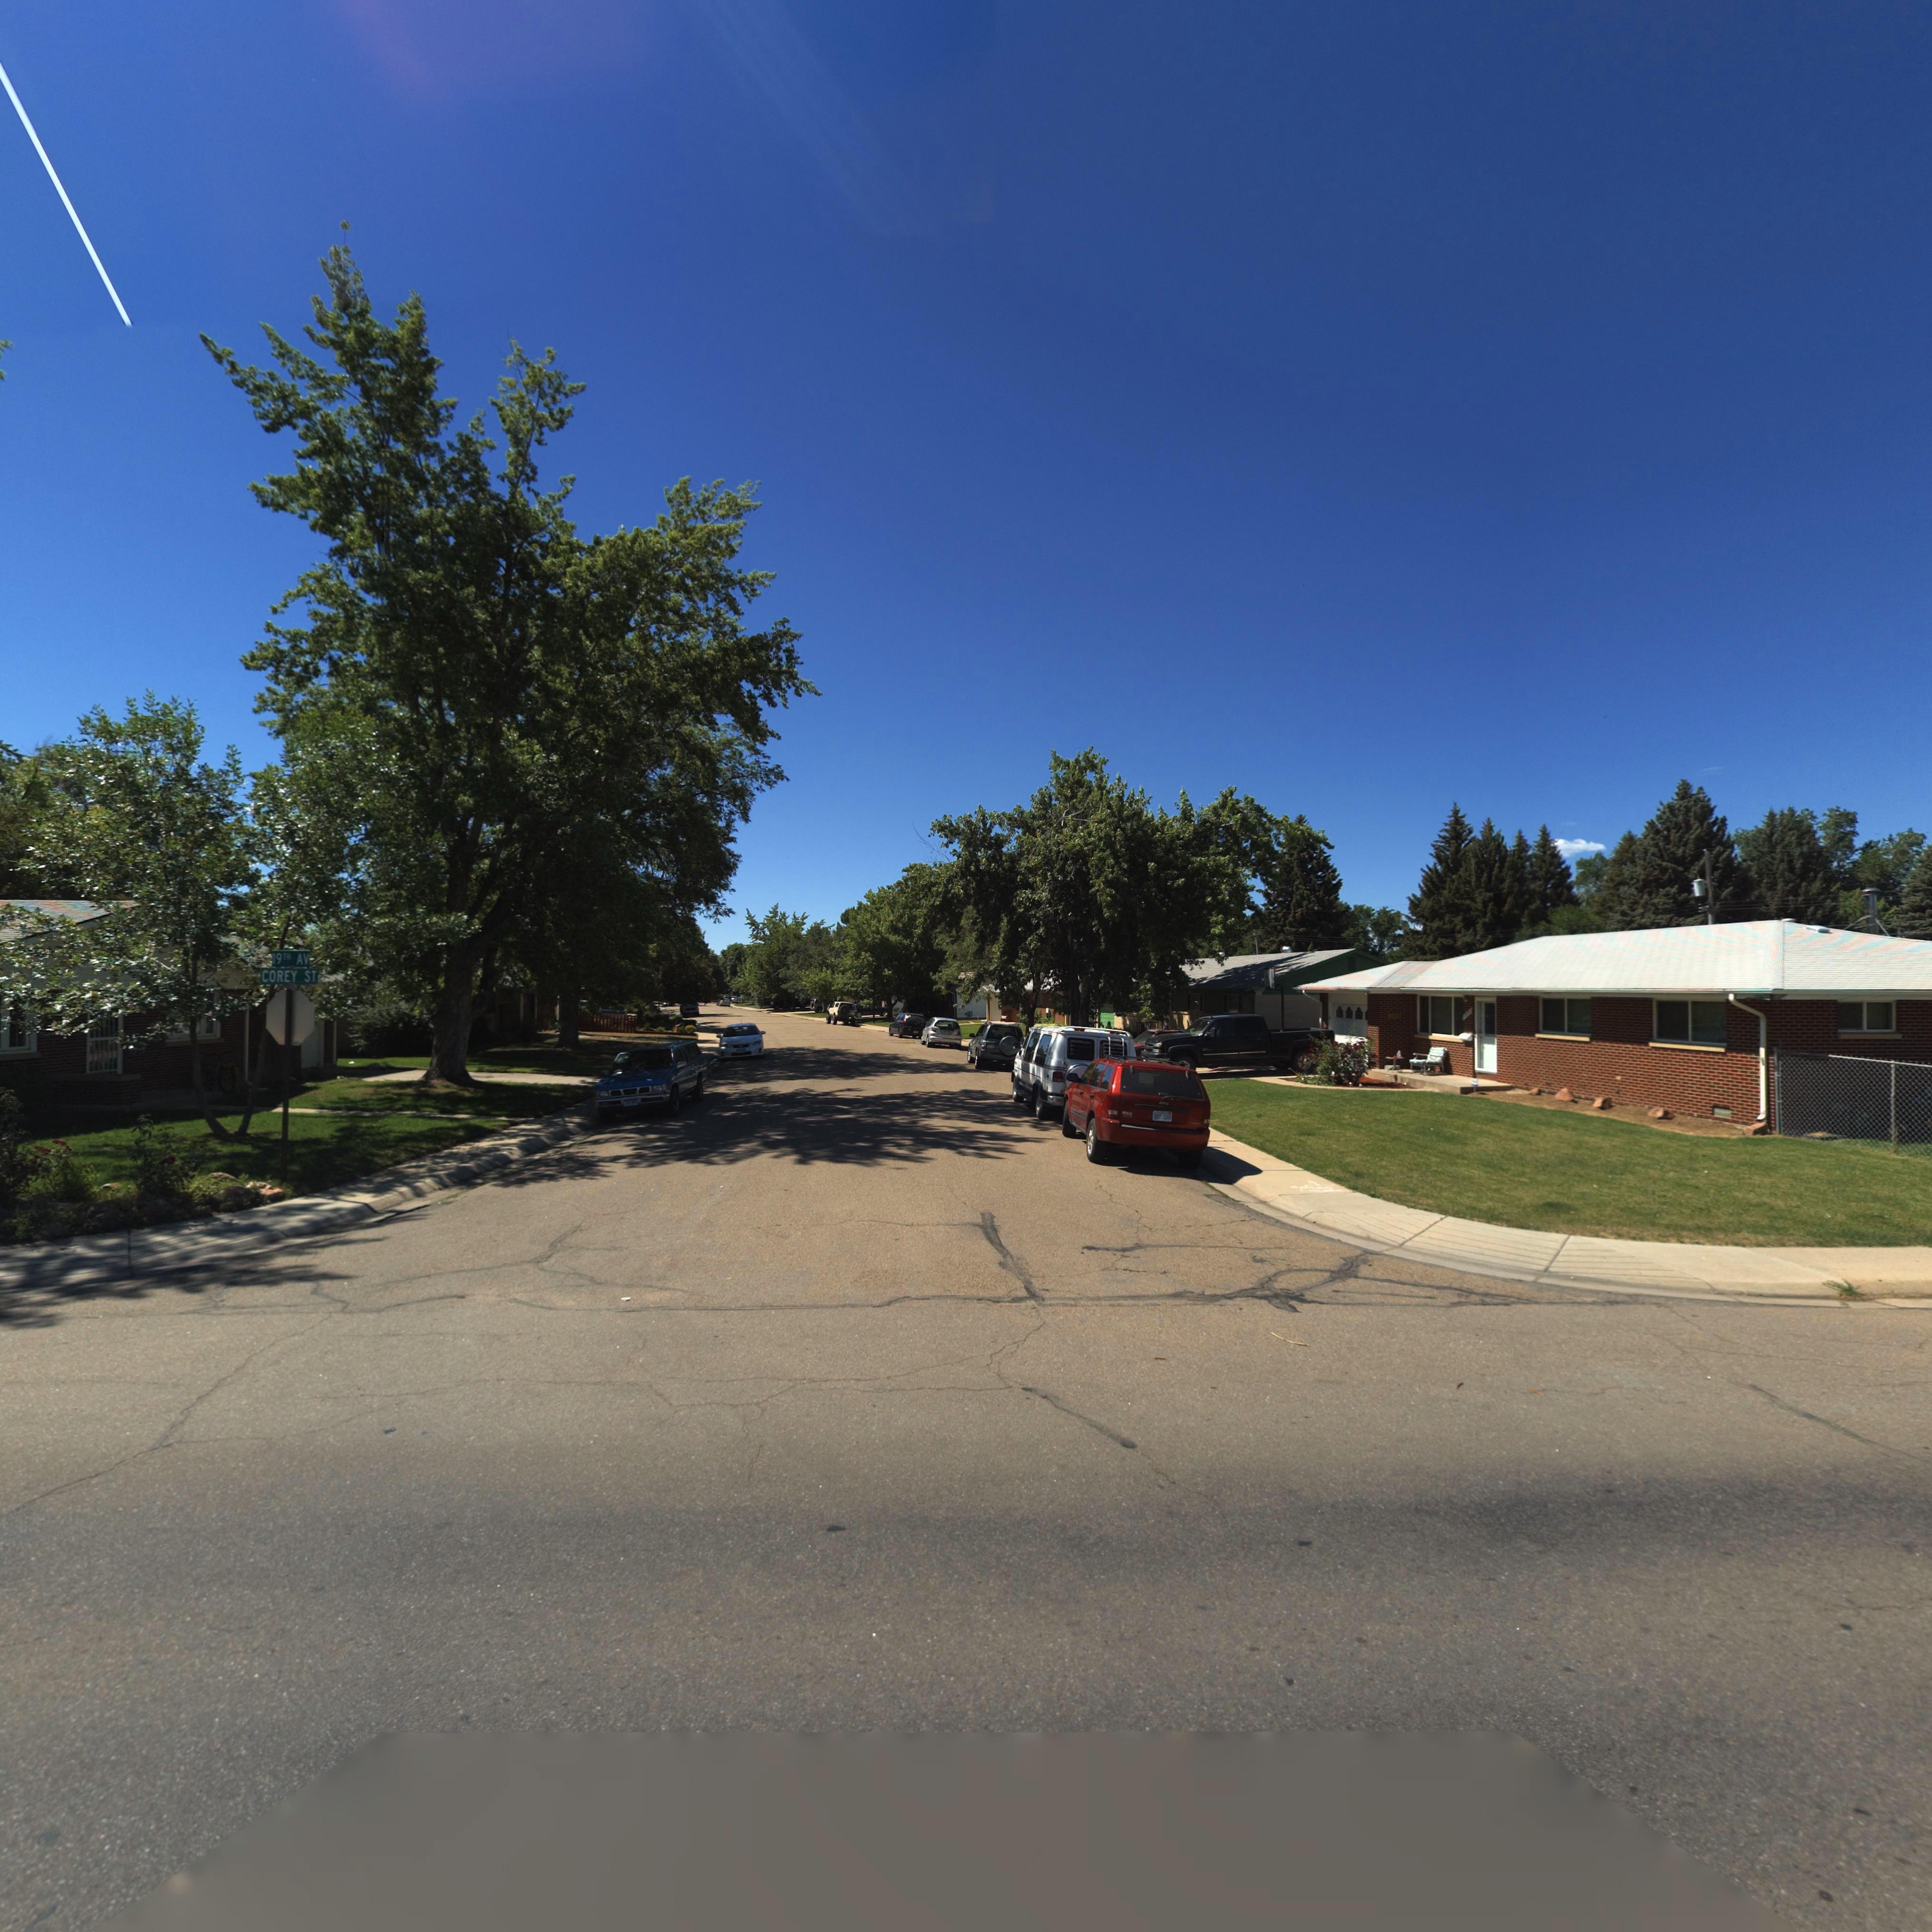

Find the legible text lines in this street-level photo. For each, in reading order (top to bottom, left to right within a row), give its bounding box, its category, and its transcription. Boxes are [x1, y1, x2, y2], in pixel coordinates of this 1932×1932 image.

[272, 952, 310, 966] StreetName: 19TH AV
[261, 969, 318, 983] StreetName: COREY ST